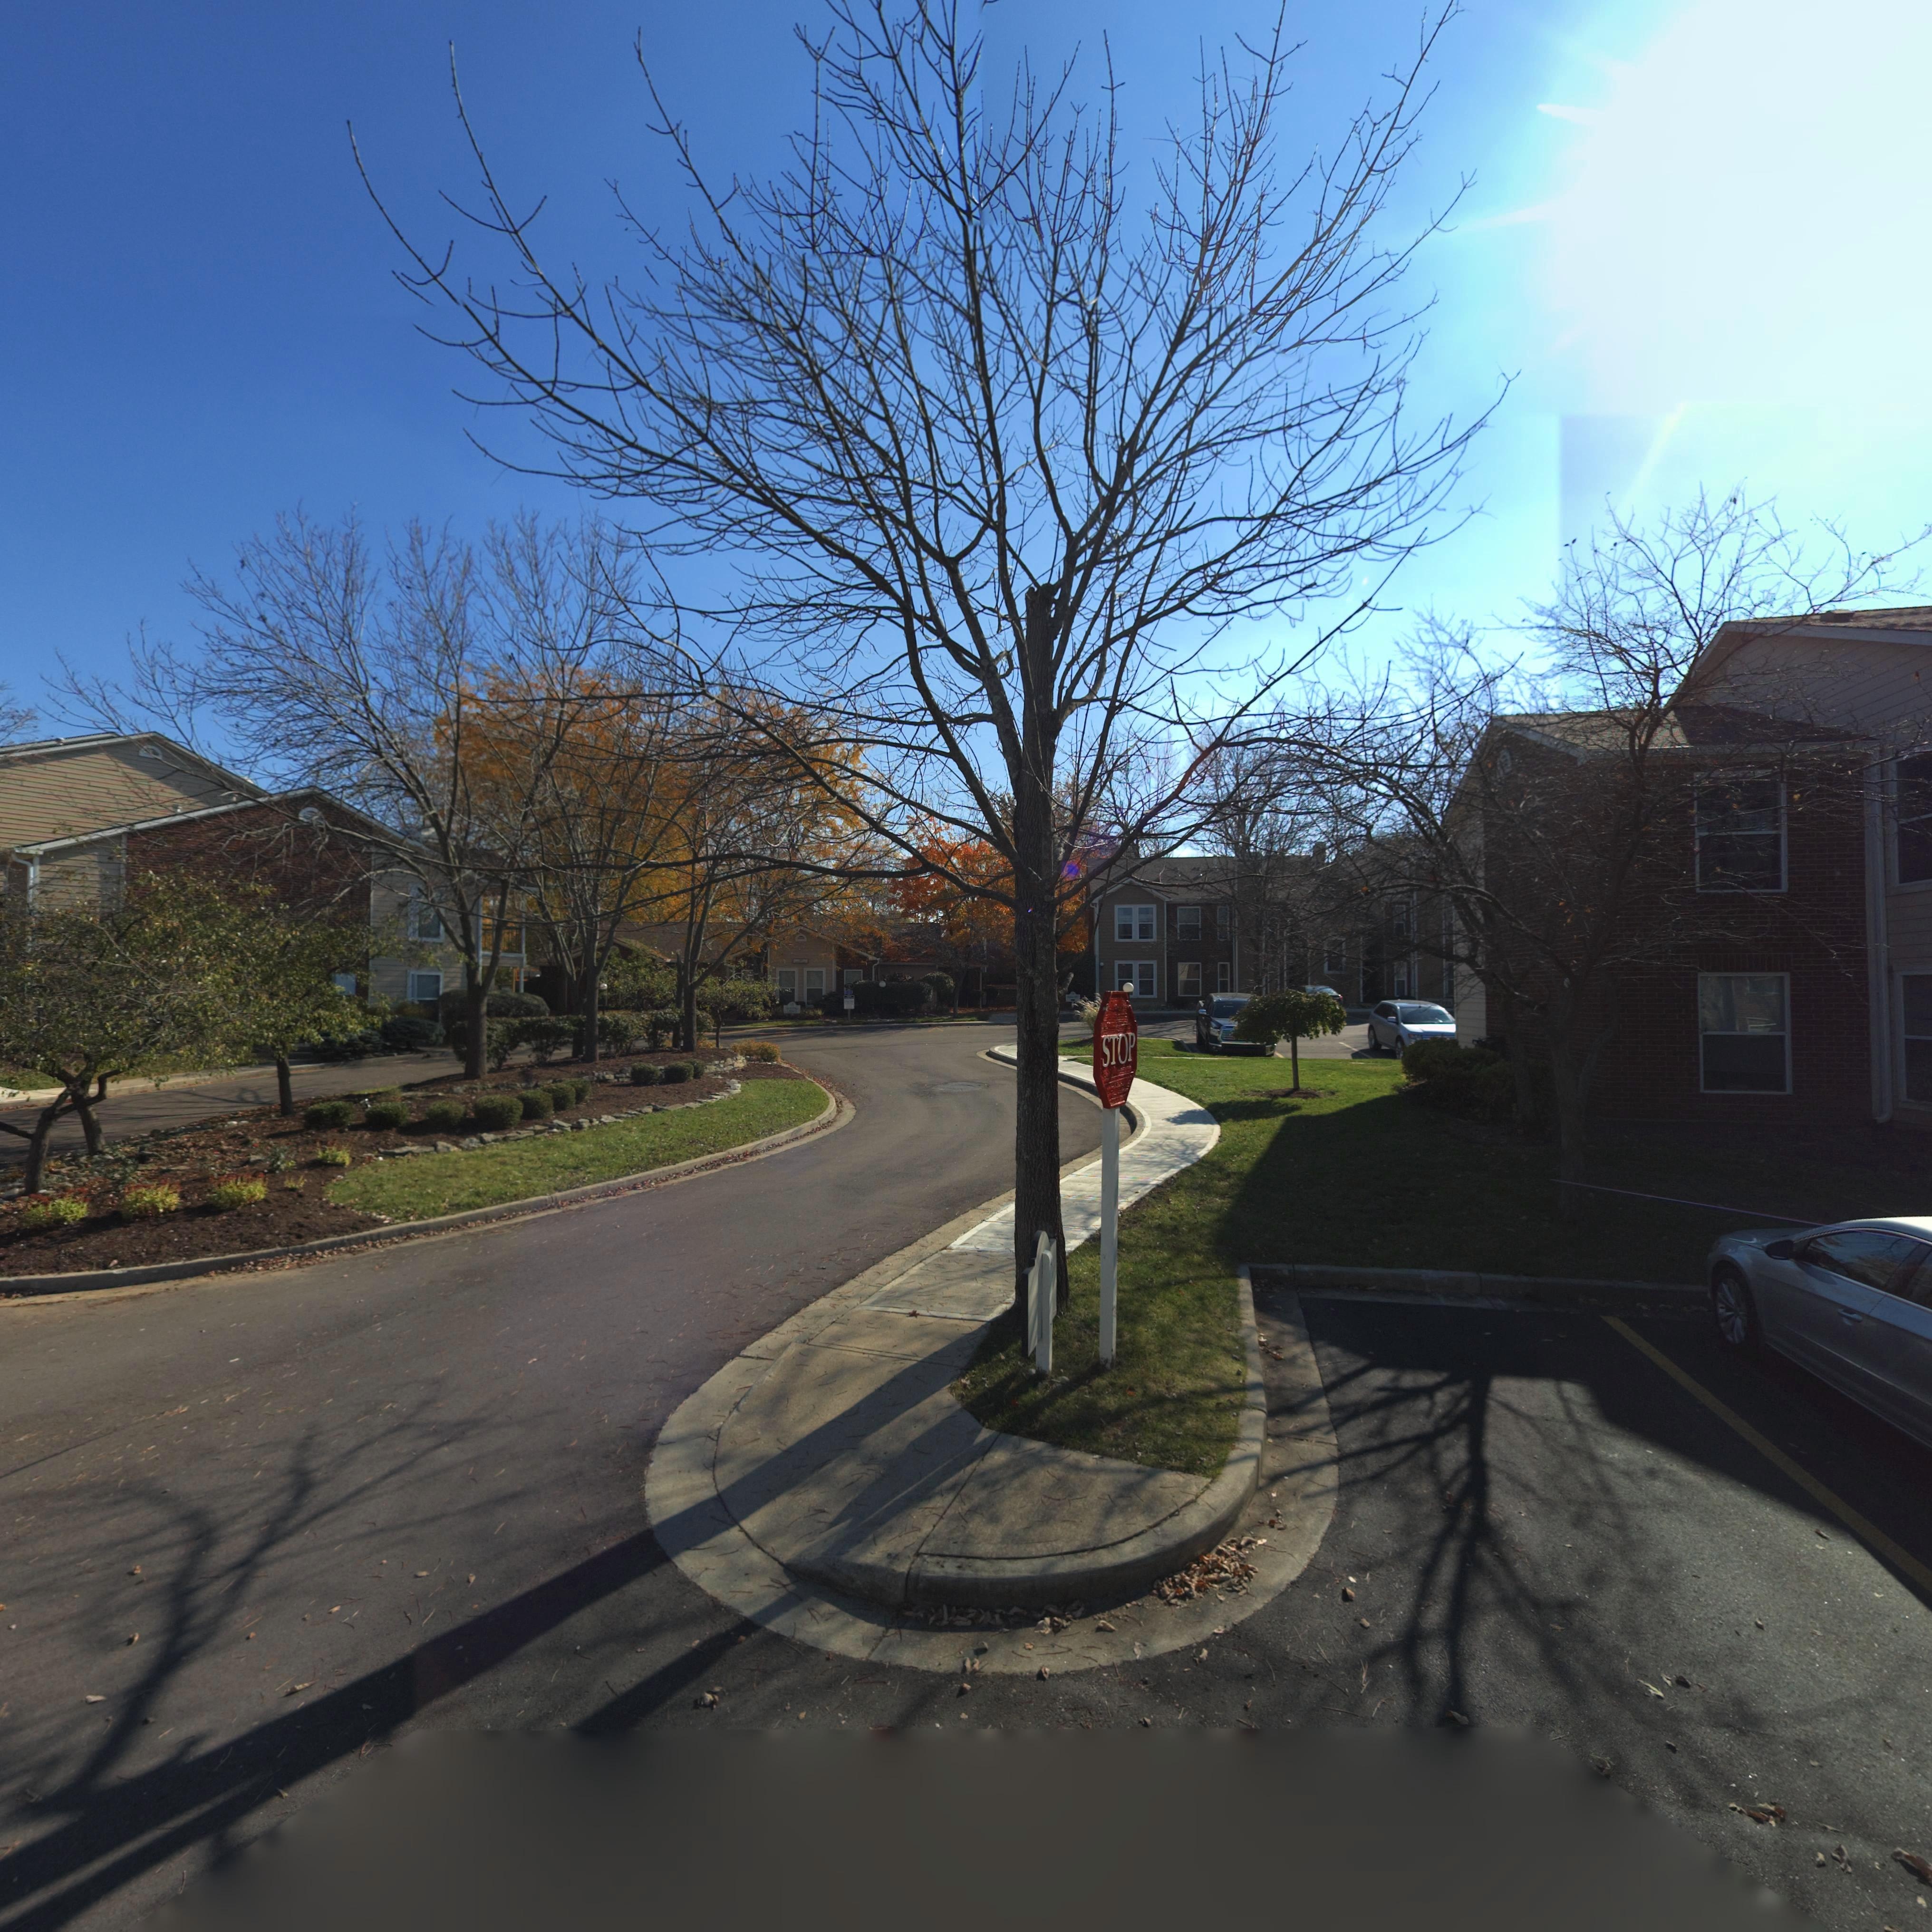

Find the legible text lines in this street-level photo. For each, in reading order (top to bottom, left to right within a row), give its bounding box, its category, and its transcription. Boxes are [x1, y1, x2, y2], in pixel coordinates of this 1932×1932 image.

[1100, 1030, 1137, 1069] None: STOP